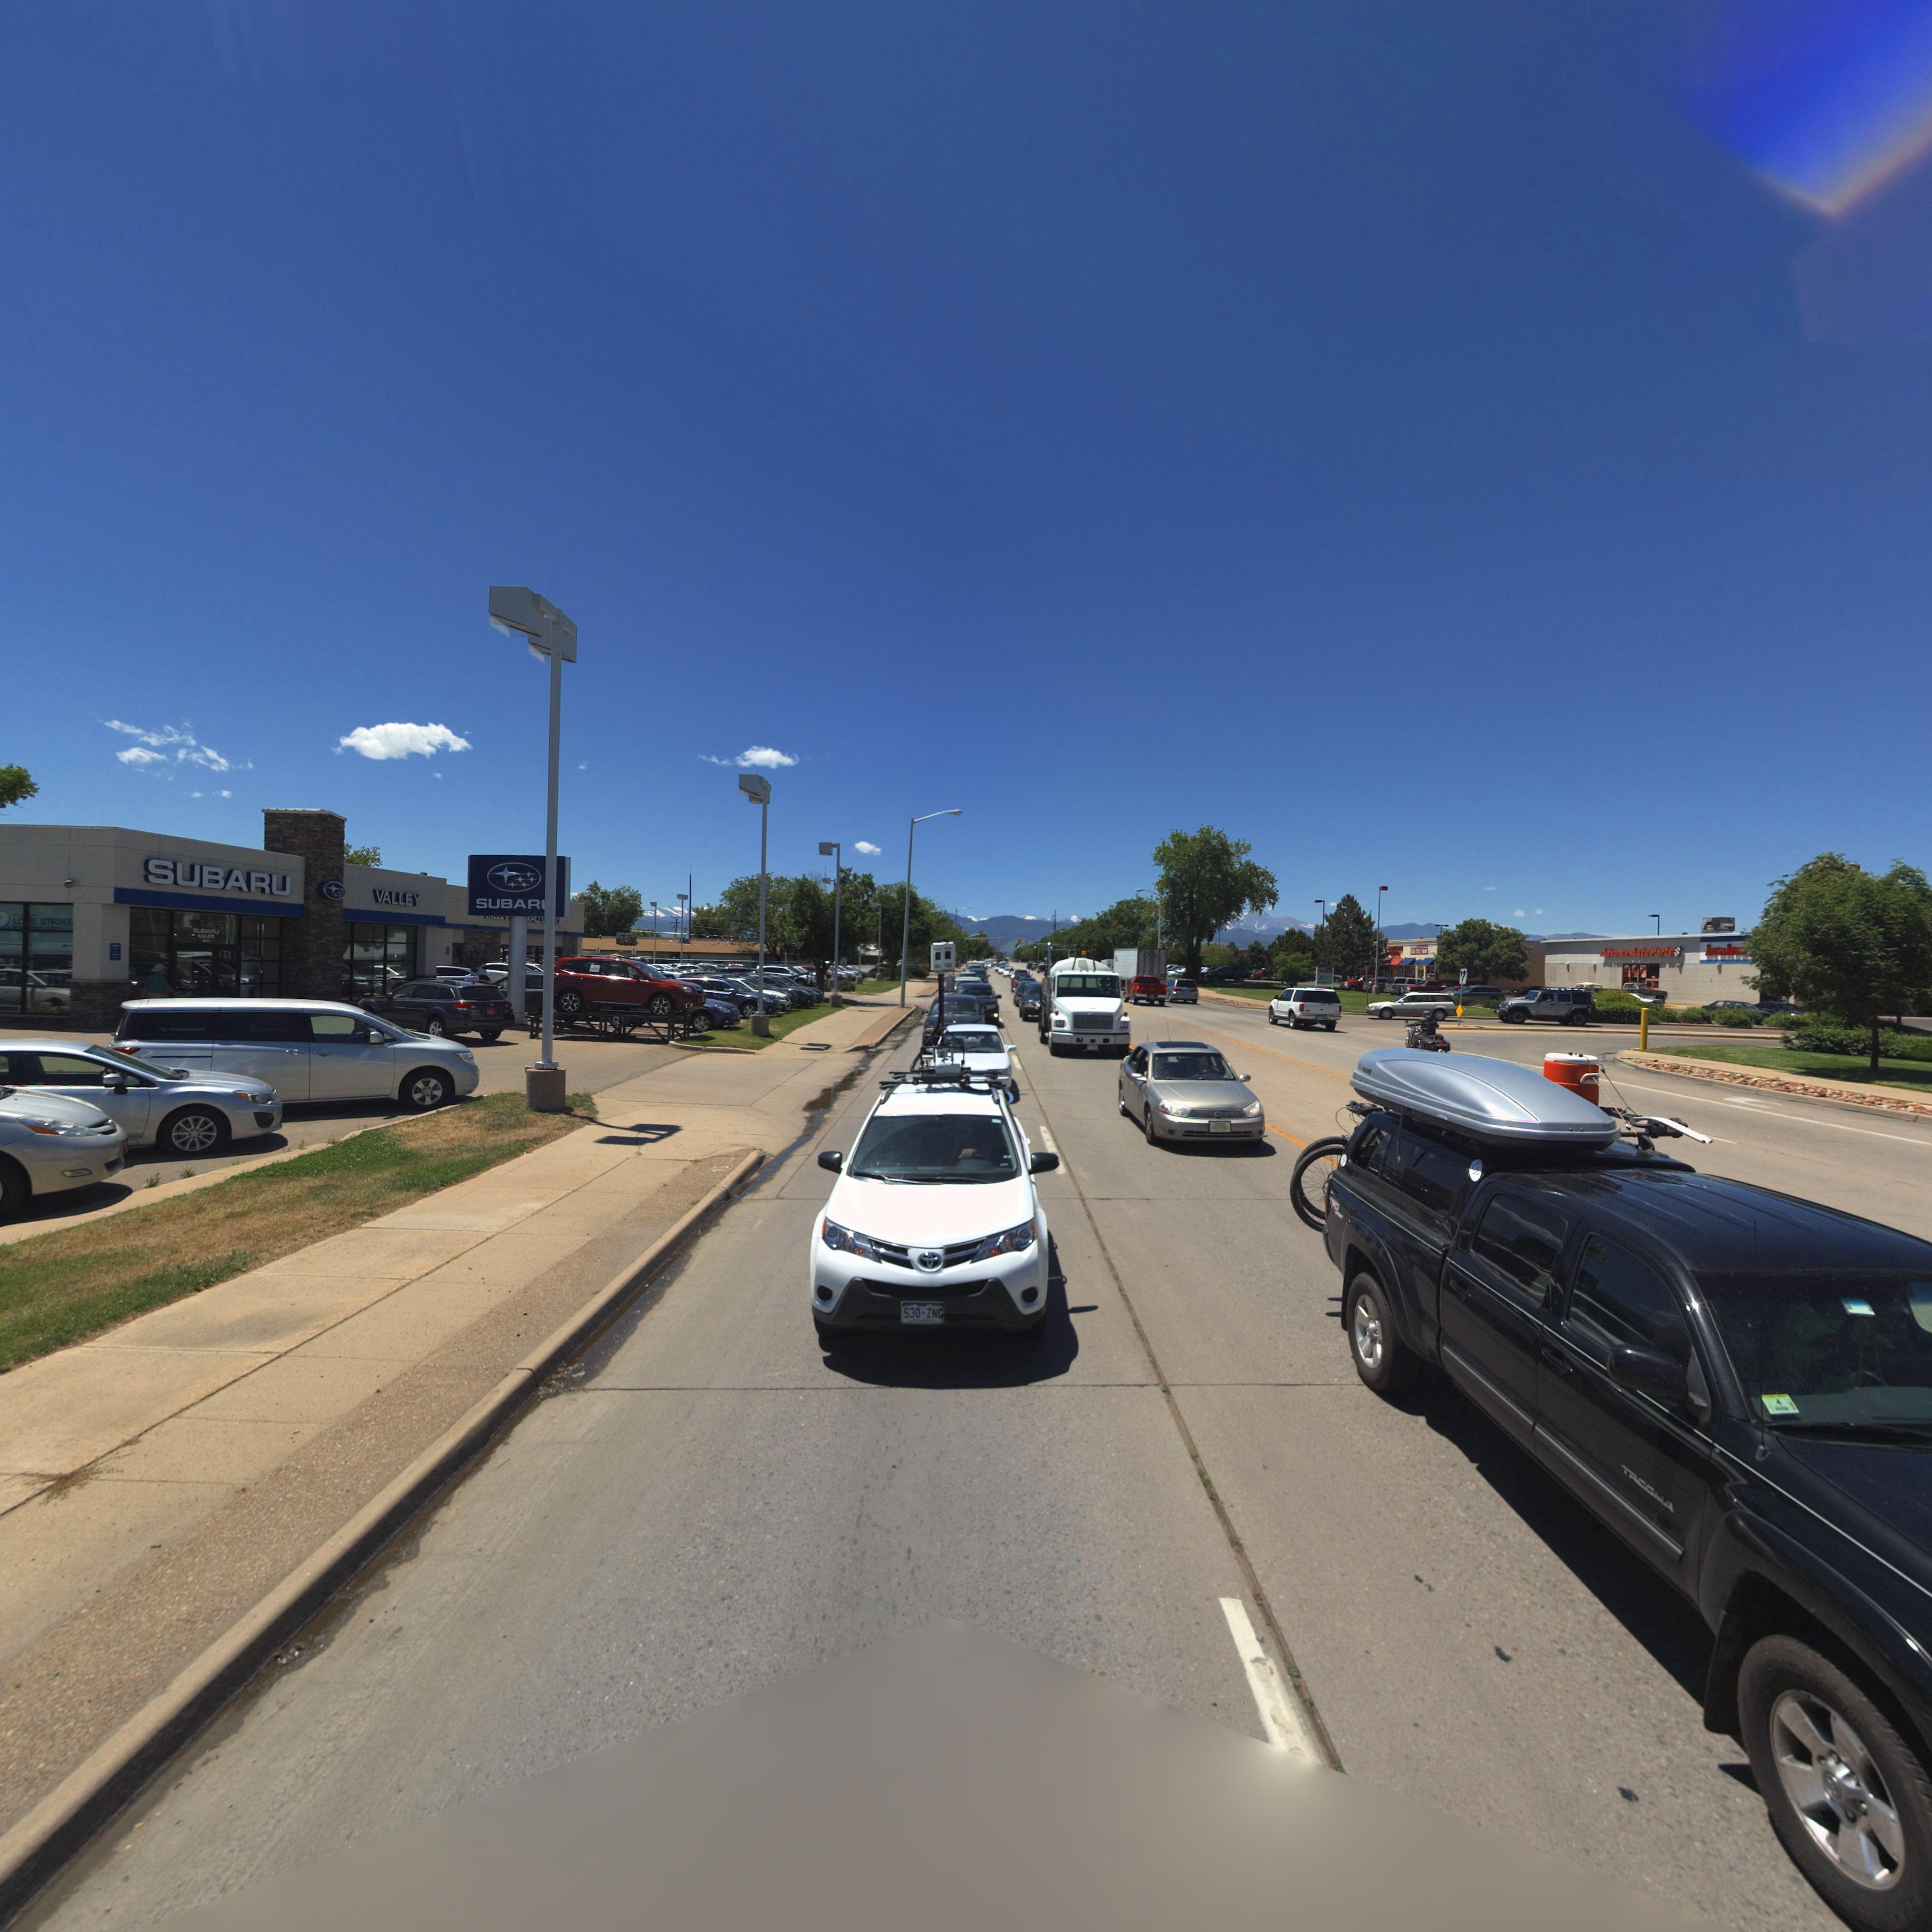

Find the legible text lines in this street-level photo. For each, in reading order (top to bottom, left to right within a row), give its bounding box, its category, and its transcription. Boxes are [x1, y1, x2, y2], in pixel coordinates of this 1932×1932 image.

[143, 858, 291, 897] BusinessName: SUBARU
[475, 898, 541, 909] BusinessName: SUBAR
[555, 917, 562, 925] BusinessName: CE
[192, 928, 219, 934] BusinessName: *U*A*U
[197, 933, 214, 938] BusinessName: SALES
[1599, 946, 1674, 956] BusinessName: Advance AutoParts
[1704, 943, 1741, 956] BusinessName: brake